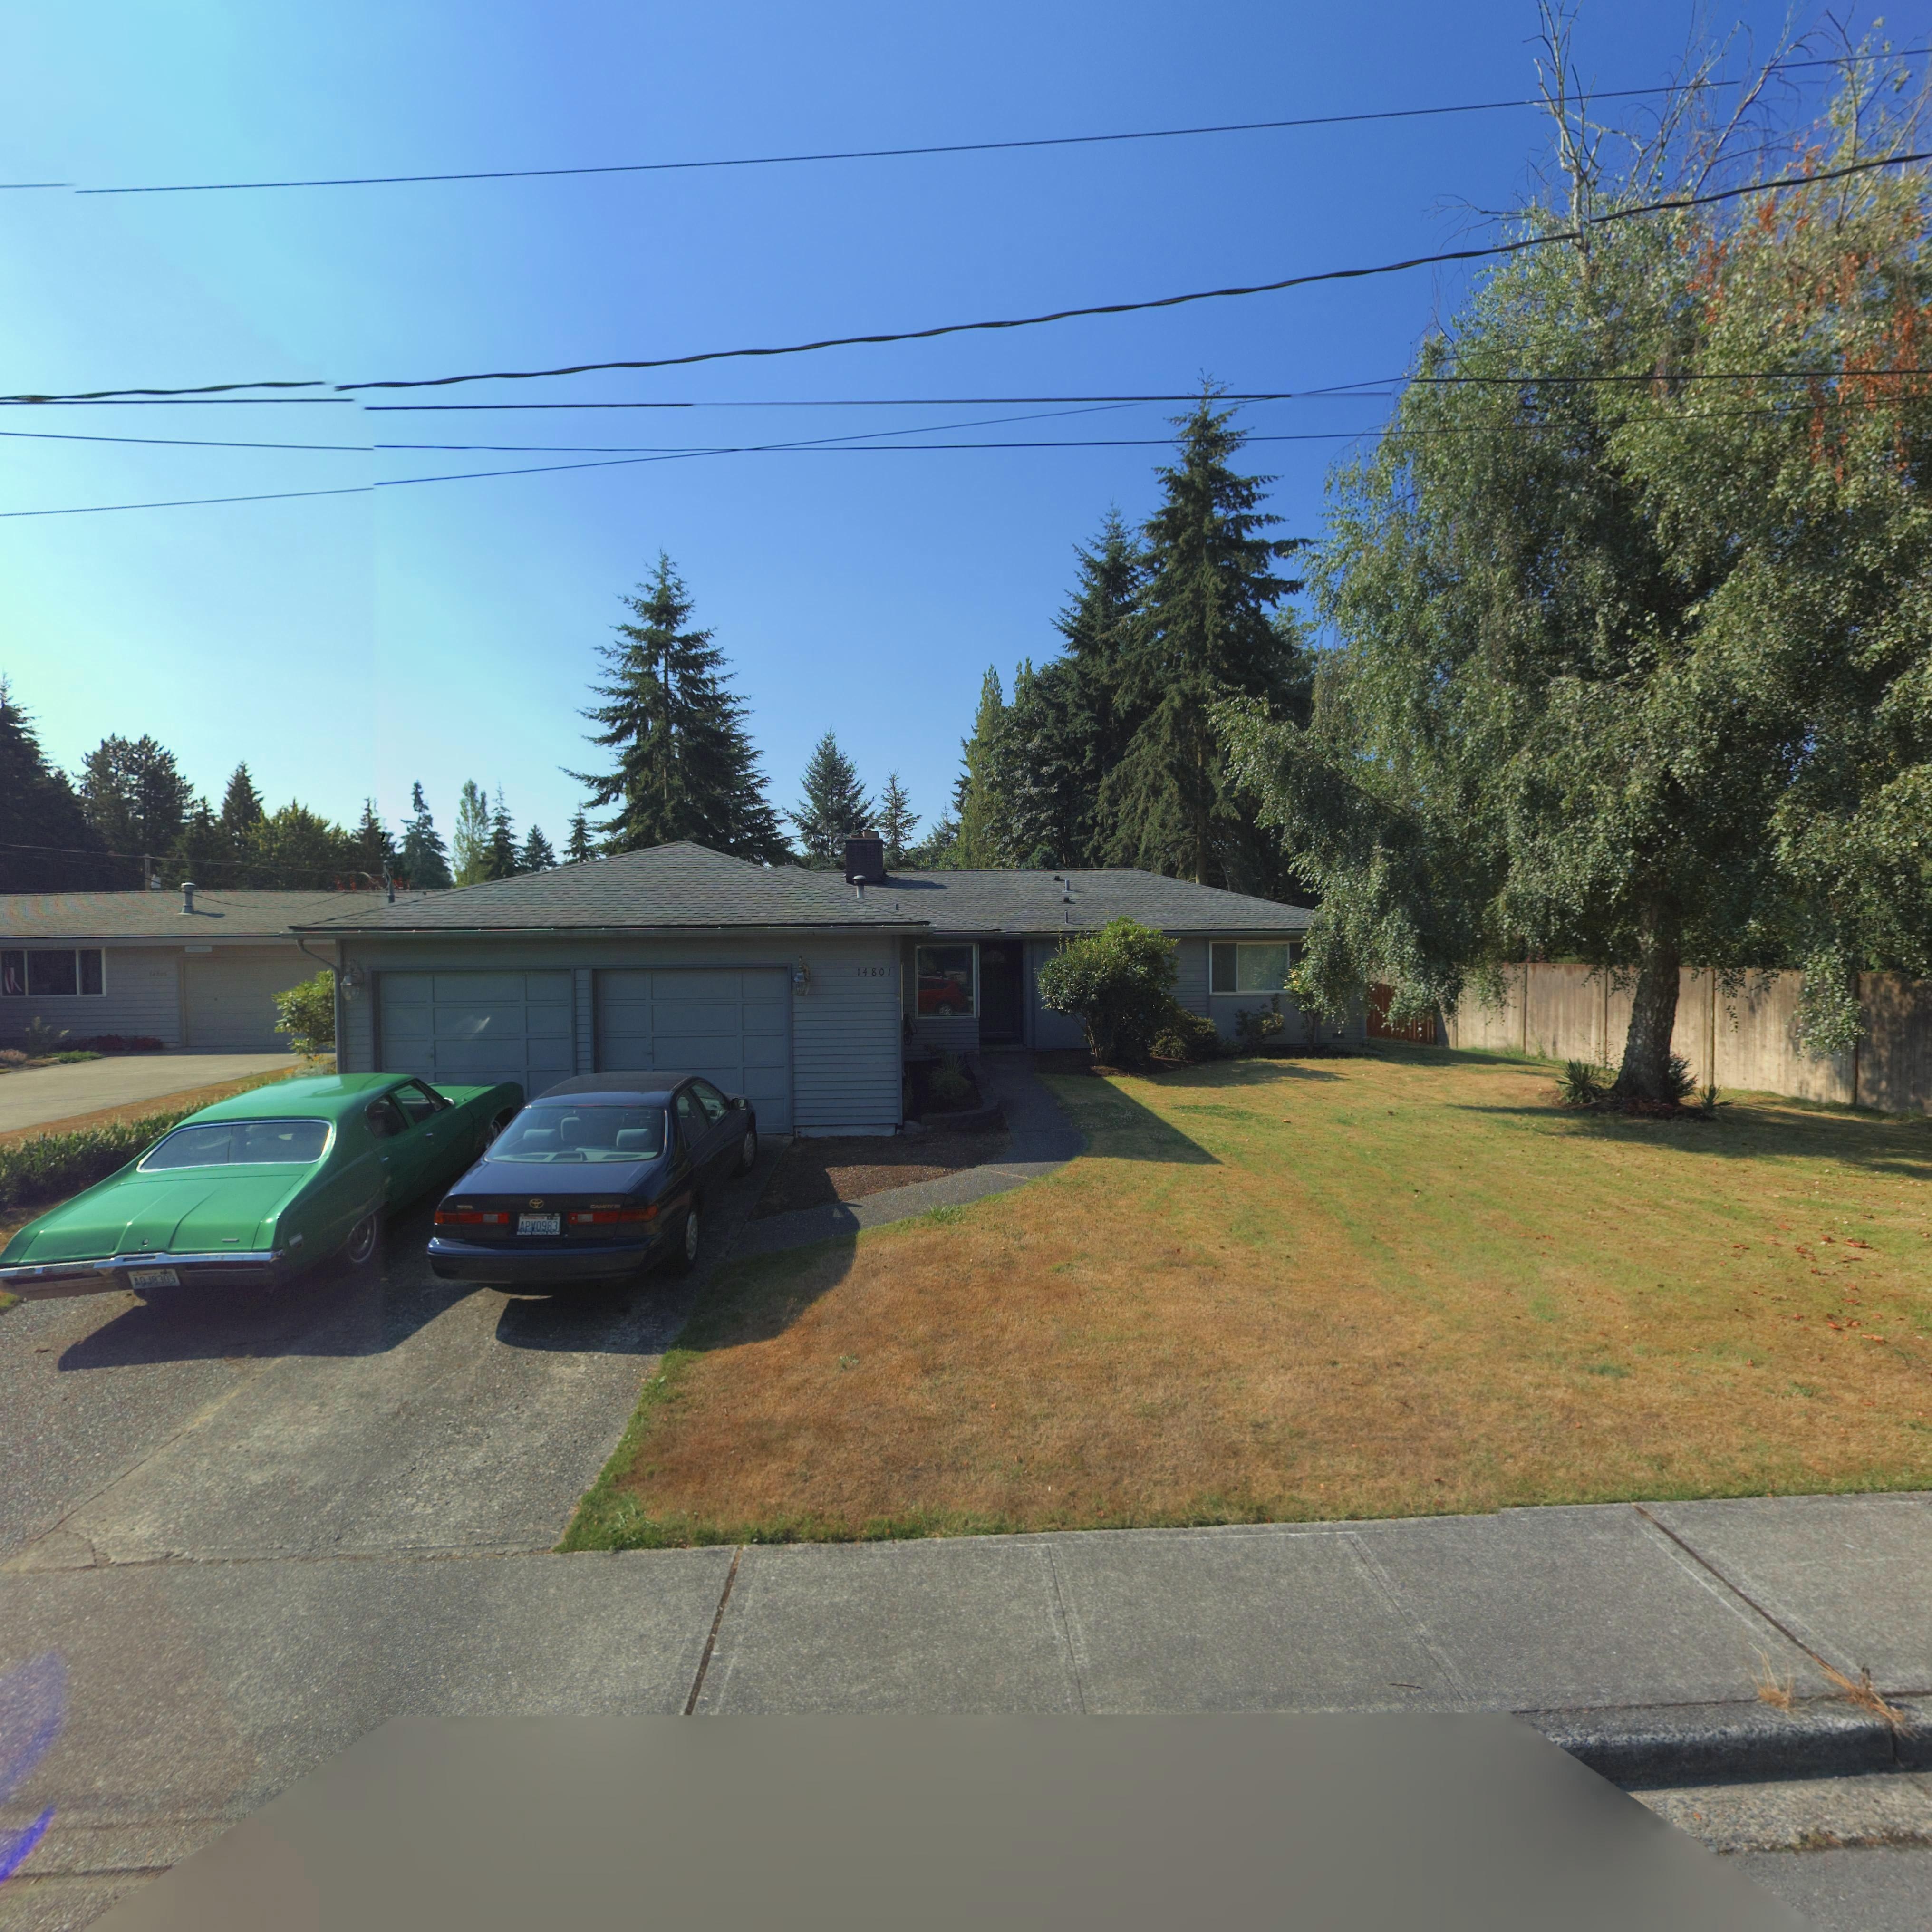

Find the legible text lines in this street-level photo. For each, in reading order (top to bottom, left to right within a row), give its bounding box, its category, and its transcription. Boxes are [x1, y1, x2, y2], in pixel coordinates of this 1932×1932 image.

[855, 966, 892, 977] StreetNumber: 14801